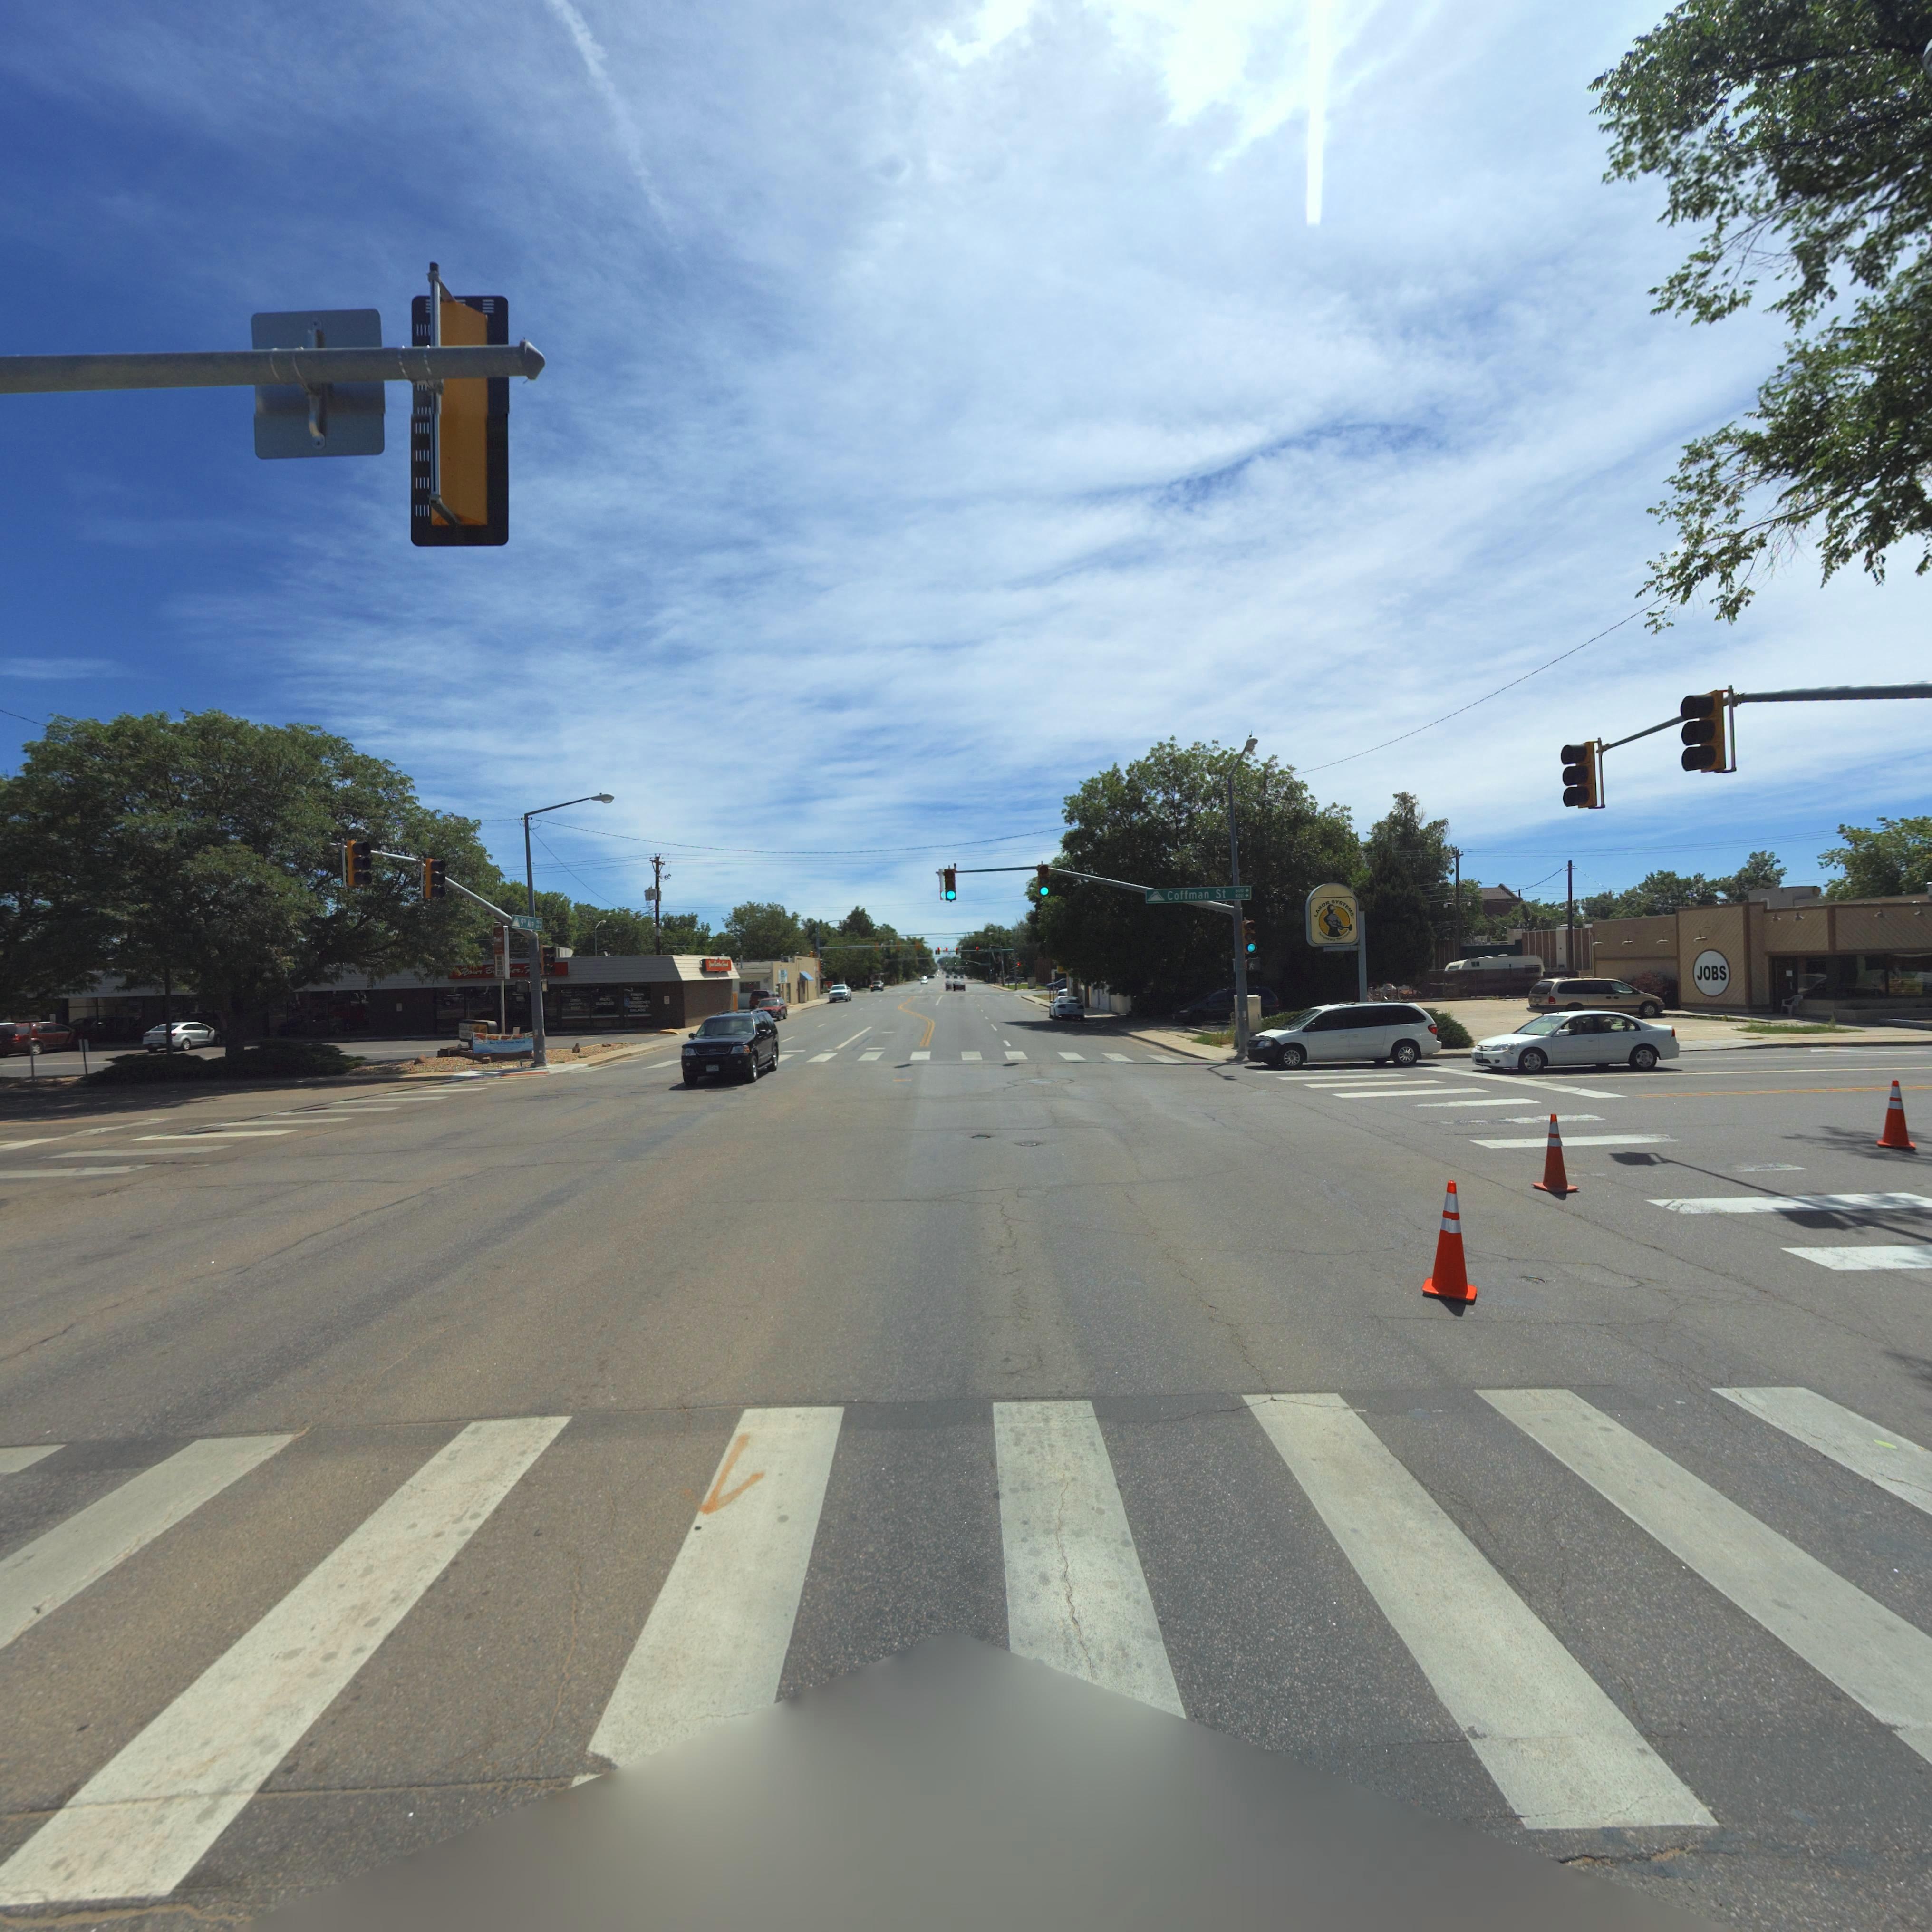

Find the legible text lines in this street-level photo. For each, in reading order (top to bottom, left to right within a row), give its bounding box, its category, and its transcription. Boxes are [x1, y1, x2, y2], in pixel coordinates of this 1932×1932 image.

[1166, 889, 1227, 901] StreetName: Coffman St
[1235, 888, 1244, 893] StreetNumberRange: 600
[1235, 893, 1249, 898] StreetNumberRange: *0**
[1313, 899, 1354, 917] BusinessName: LA*O* SY*TEM*
[520, 917, 534, 928] StreetName: 9** A**
[459, 965, 529, 977] BusinessName: Yo*r B****er* *